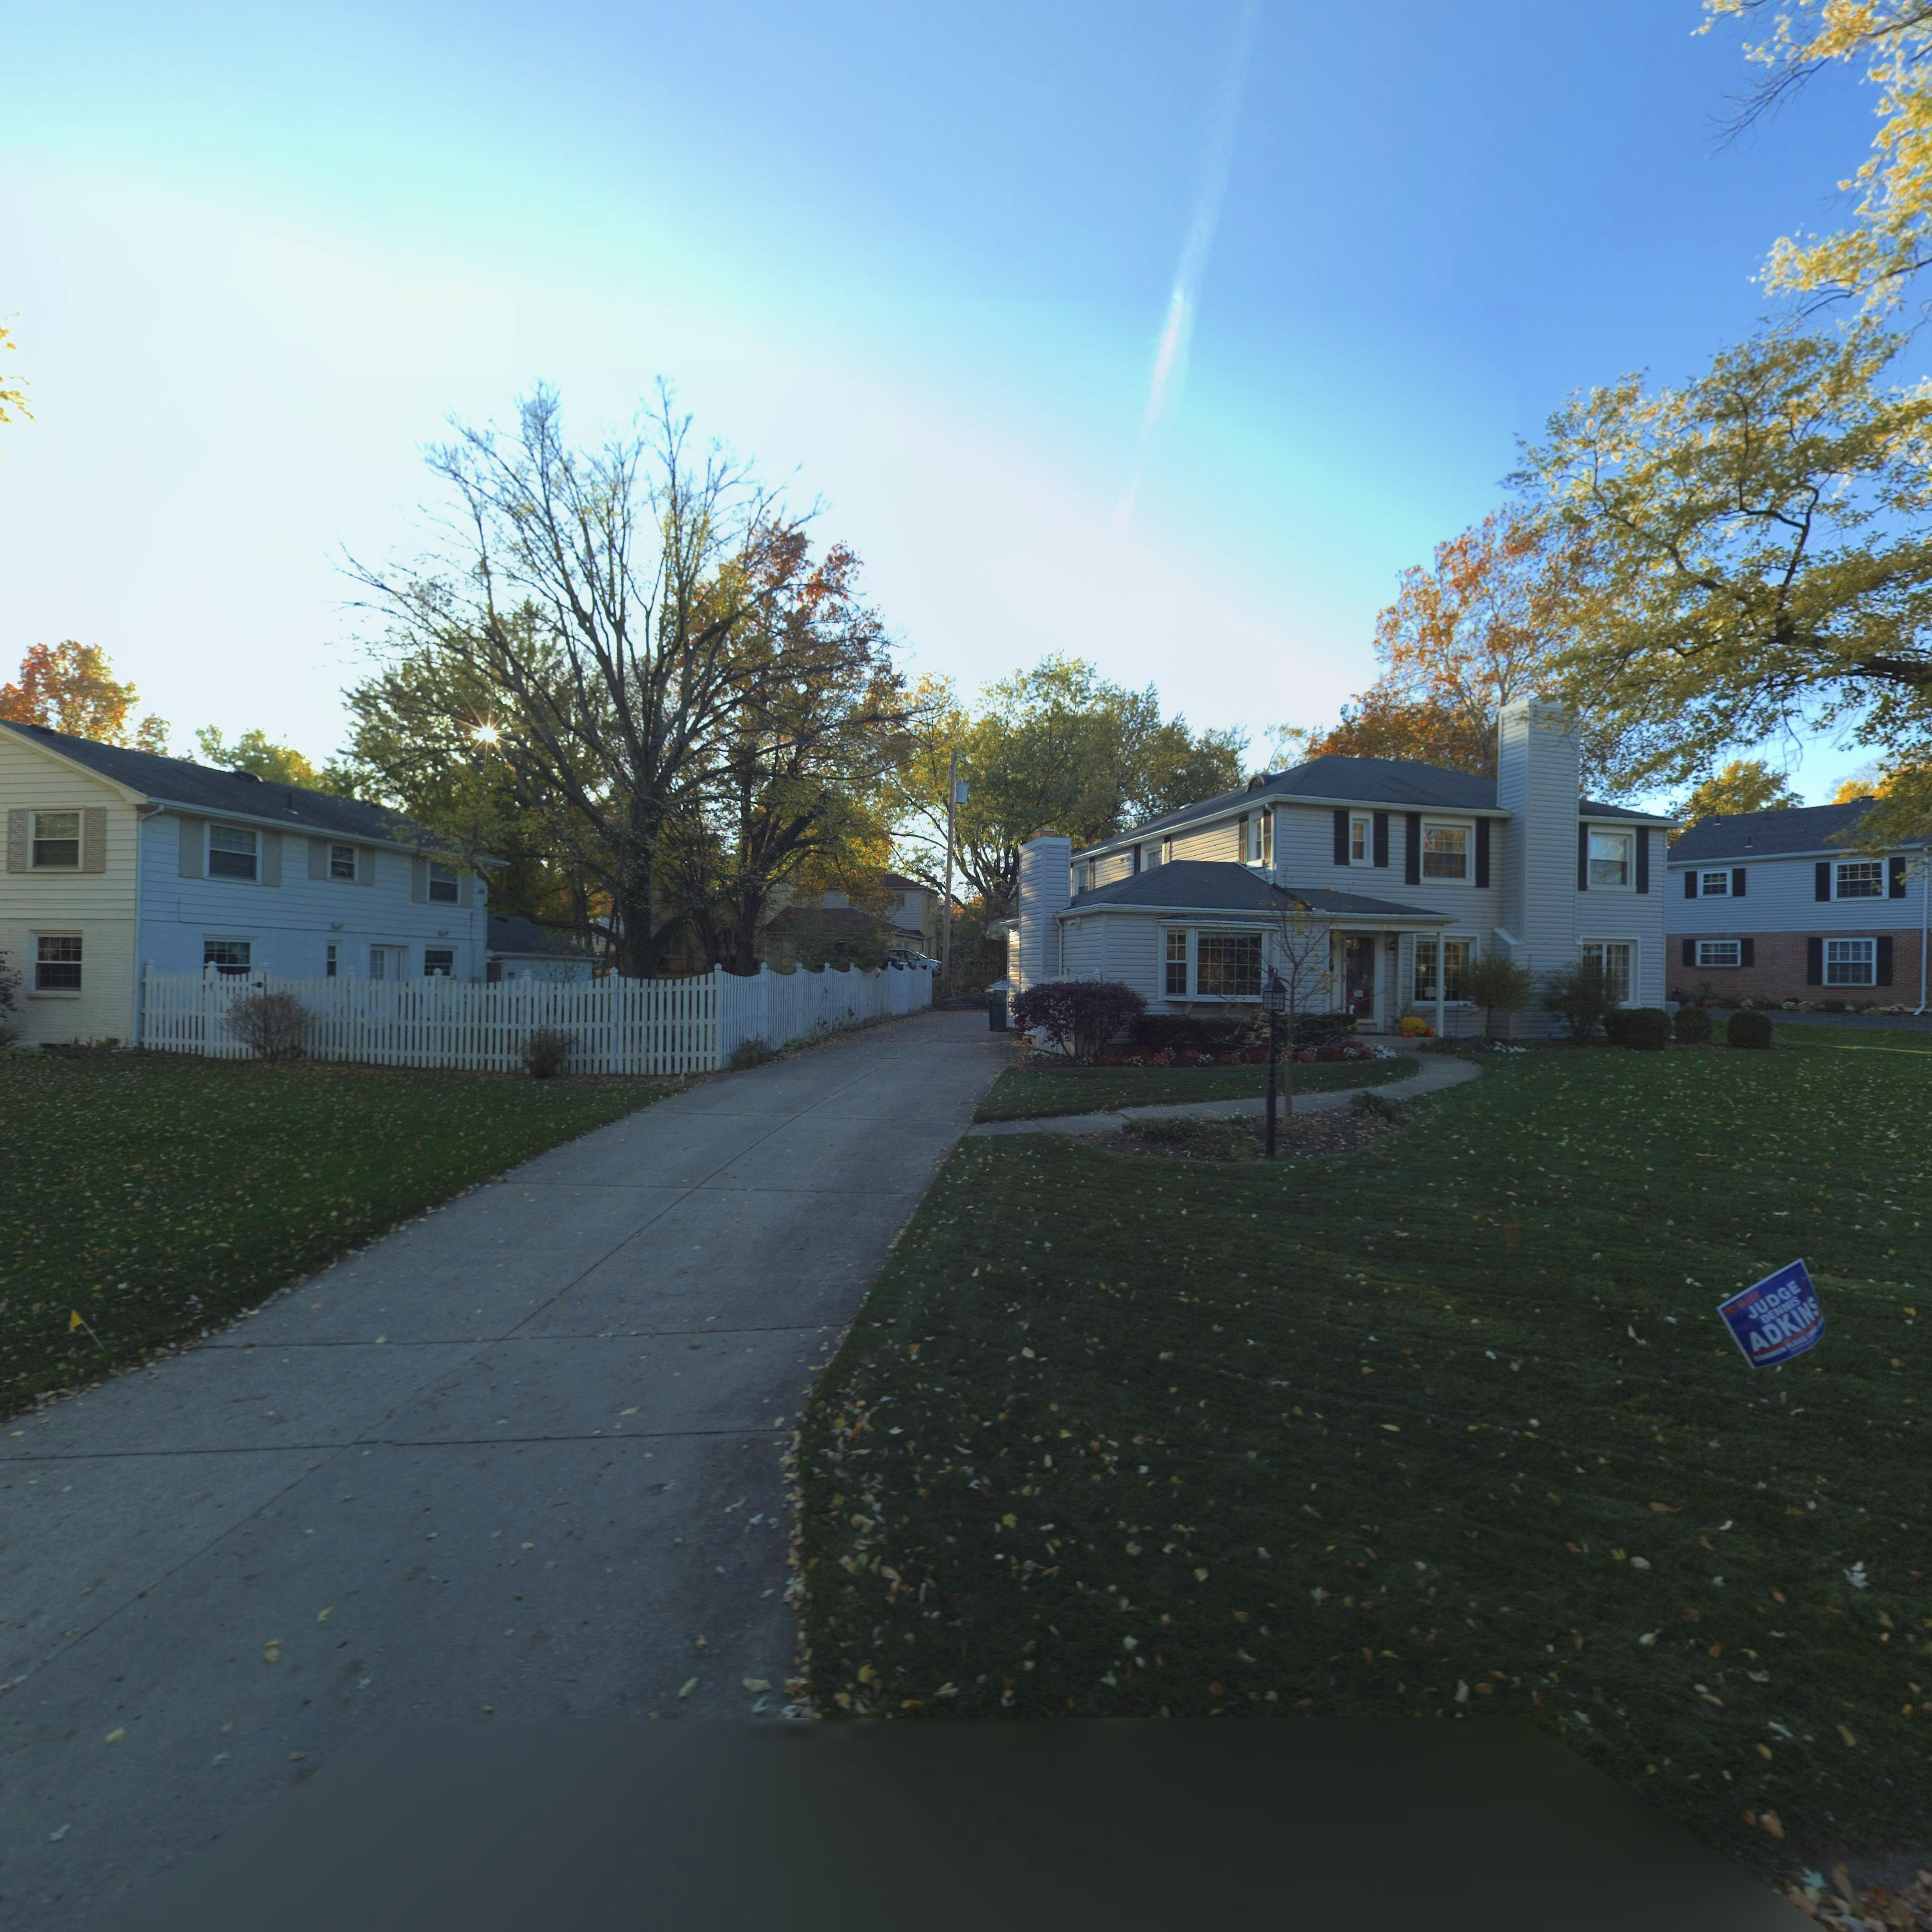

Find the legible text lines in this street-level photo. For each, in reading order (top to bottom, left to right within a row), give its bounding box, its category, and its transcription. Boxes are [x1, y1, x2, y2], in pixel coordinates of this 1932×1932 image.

[1377, 922, 1395, 931] StreetNumber: 3175